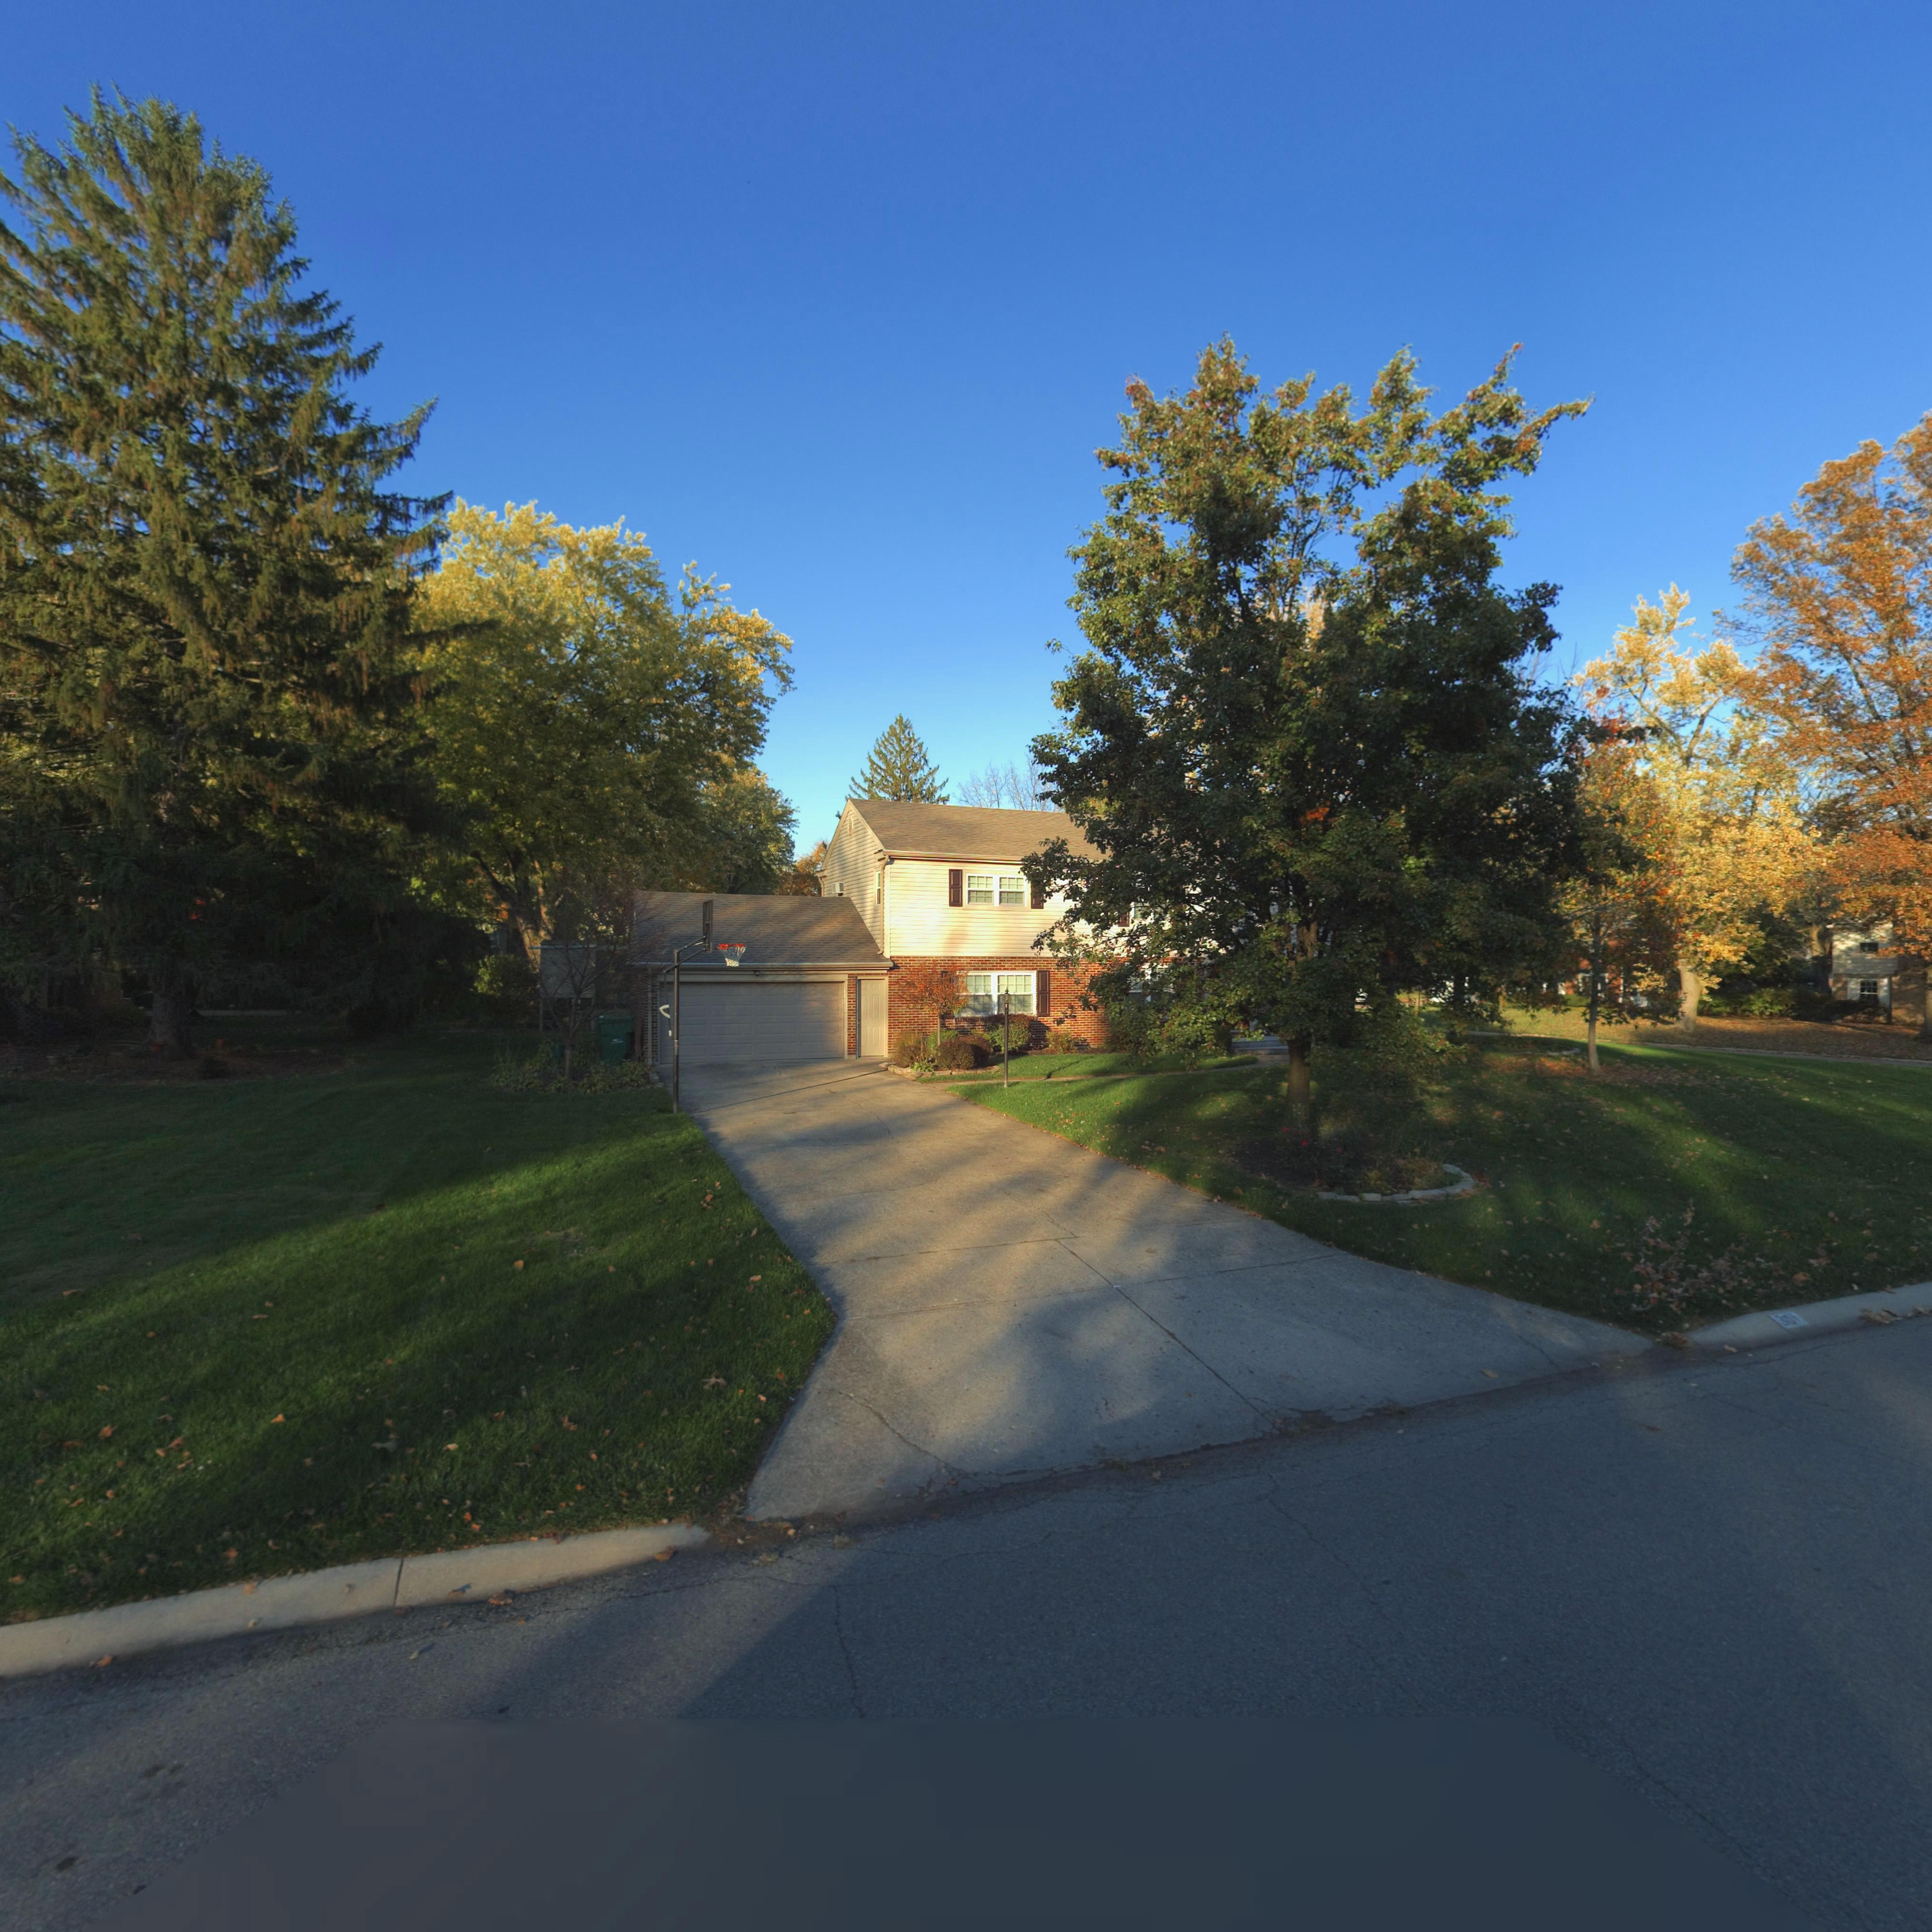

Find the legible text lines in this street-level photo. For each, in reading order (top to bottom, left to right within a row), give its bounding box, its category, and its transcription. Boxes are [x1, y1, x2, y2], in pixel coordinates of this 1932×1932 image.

[1772, 1311, 1805, 1328] StreetNumber: 301